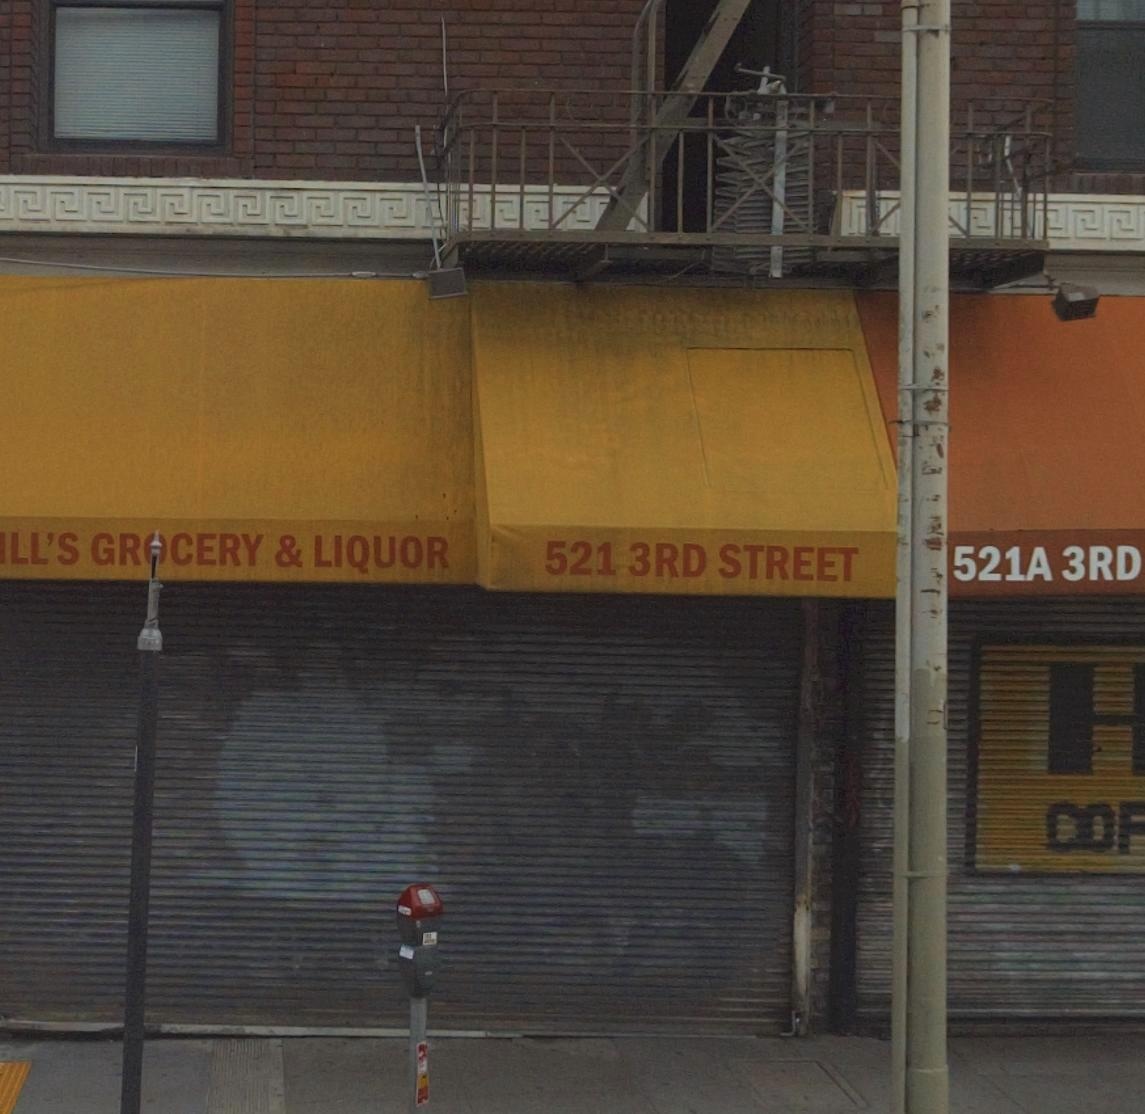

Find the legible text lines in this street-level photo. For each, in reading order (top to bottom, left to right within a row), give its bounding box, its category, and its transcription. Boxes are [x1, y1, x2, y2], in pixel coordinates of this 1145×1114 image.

[7, 526, 454, 578] BusinessName: LL'S GR*CERY & LIQUOR
[543, 539, 618, 577] StreetNumber: 521
[625, 536, 863, 585] StreetName: 3RD STREET
[949, 540, 1058, 586] StreetNumber: 521A
[1058, 541, 1145, 586] StreetName: 3RD